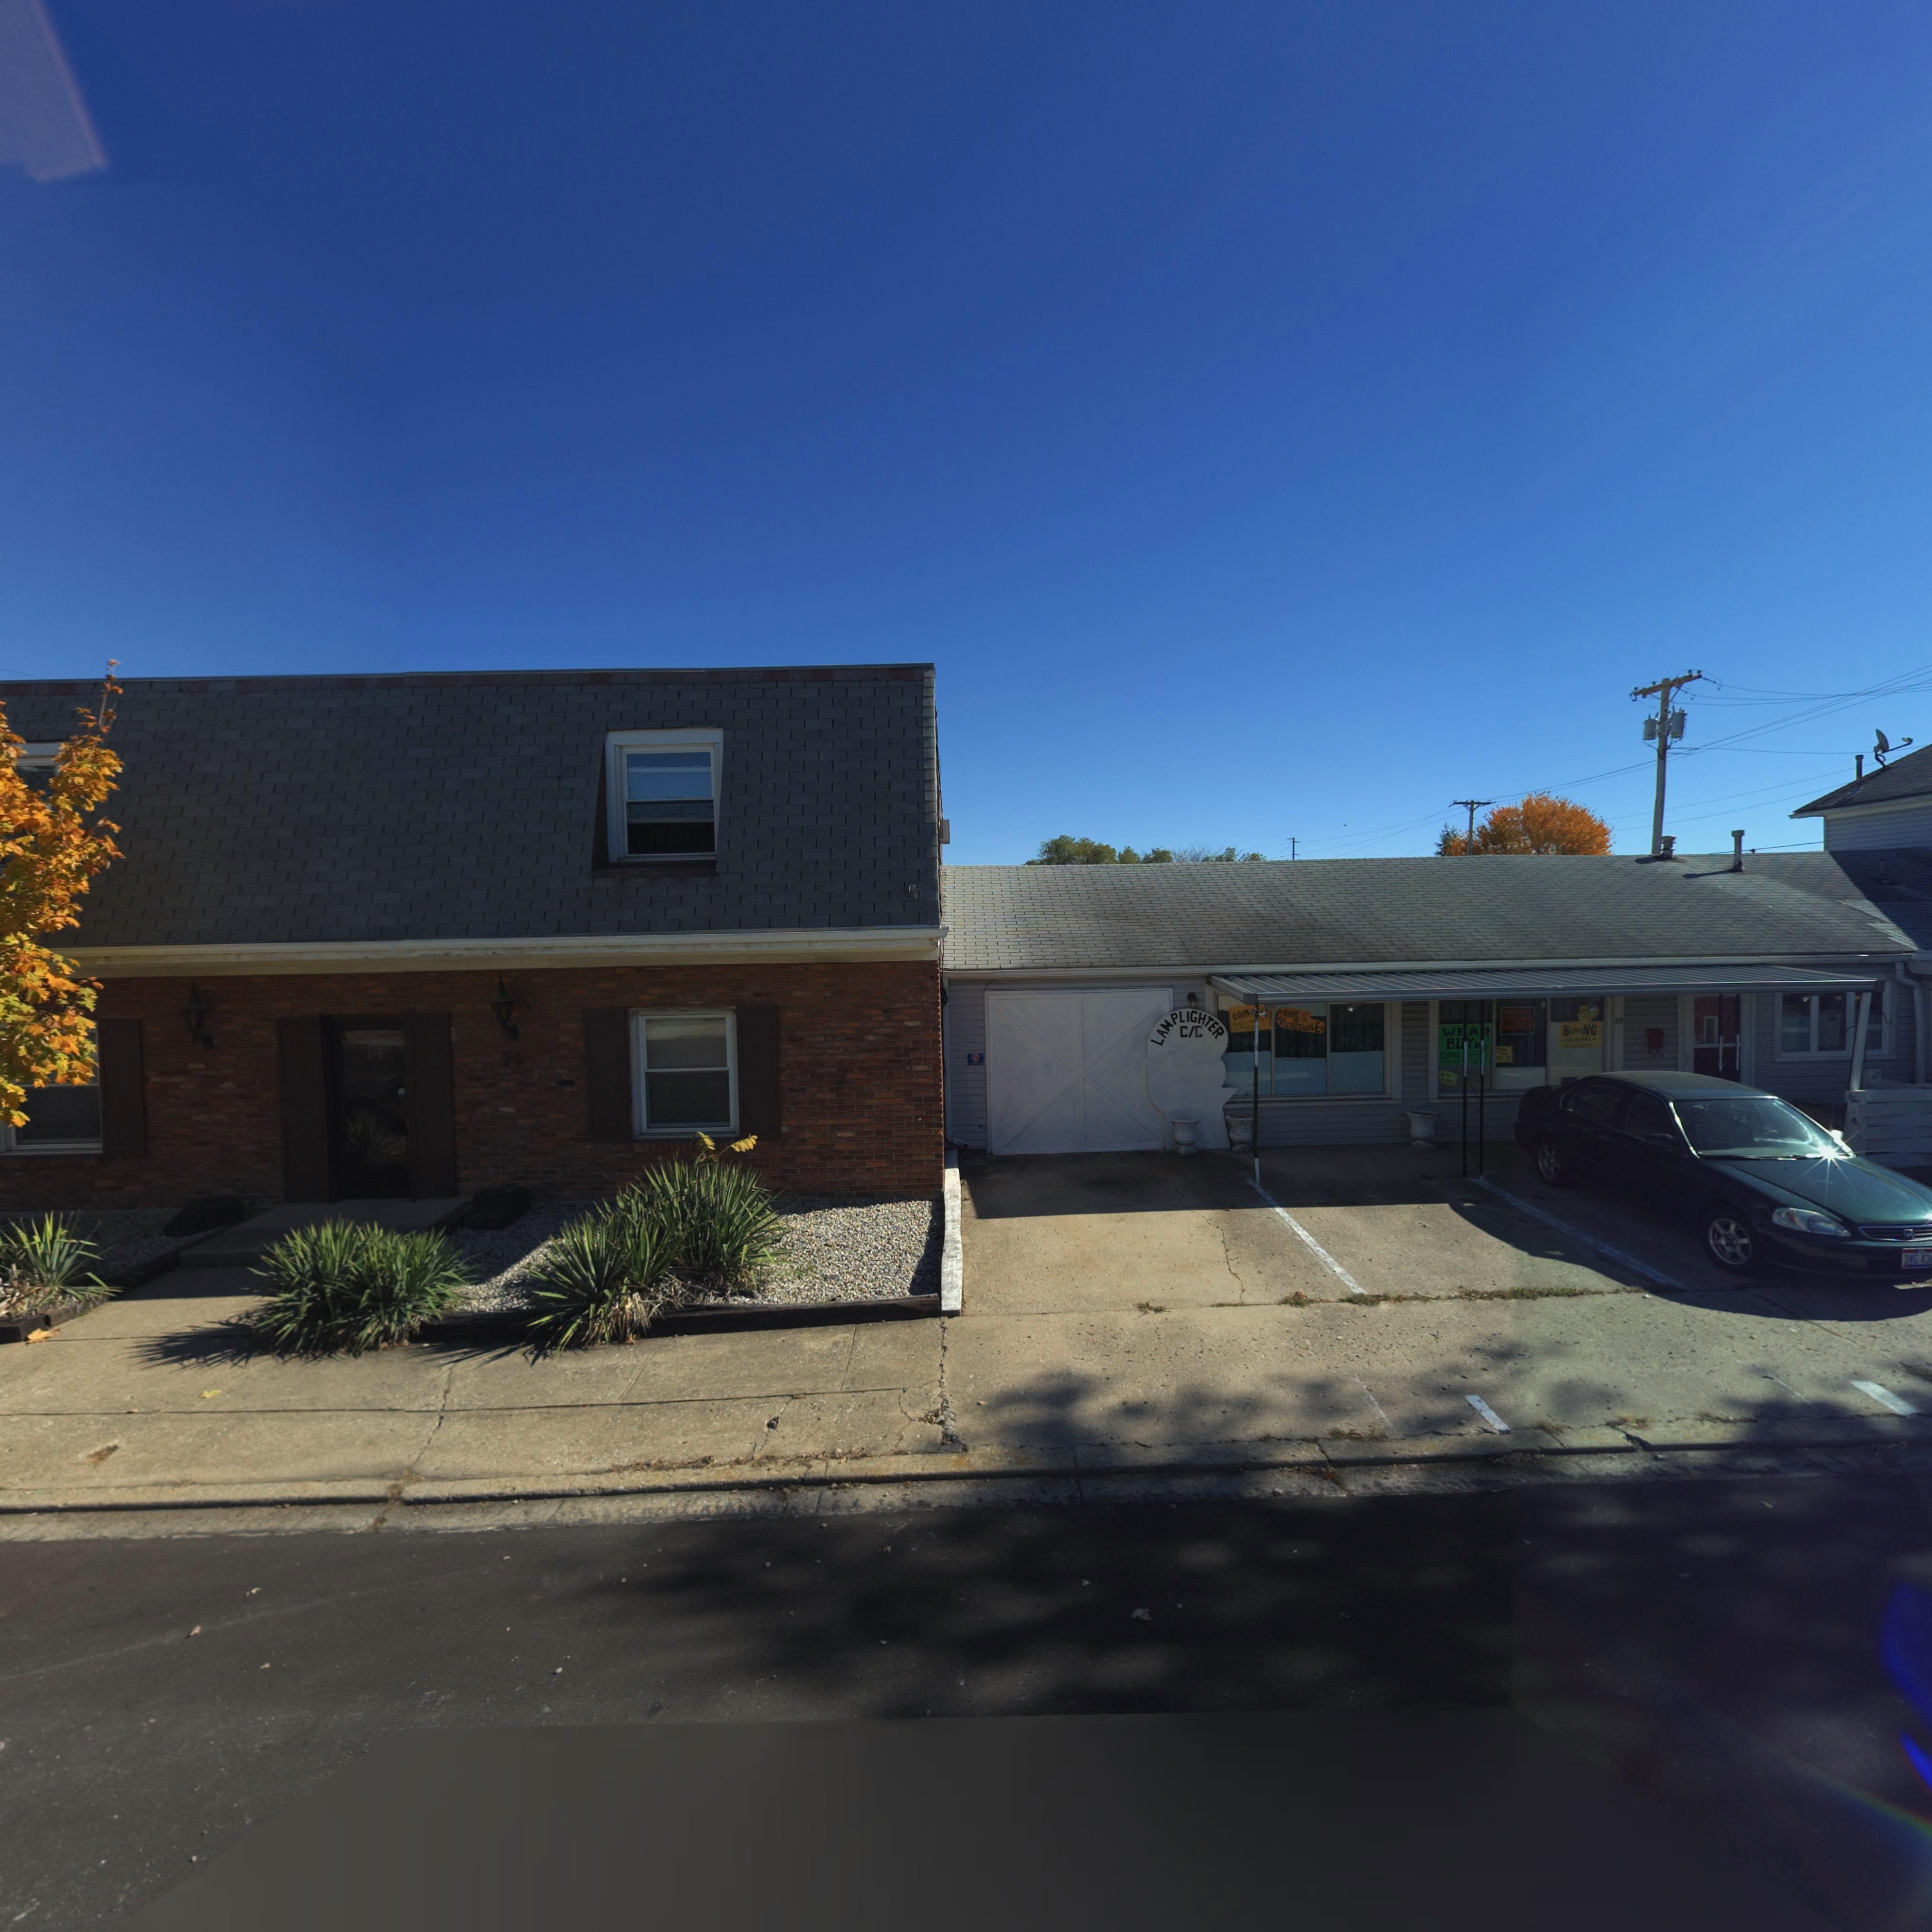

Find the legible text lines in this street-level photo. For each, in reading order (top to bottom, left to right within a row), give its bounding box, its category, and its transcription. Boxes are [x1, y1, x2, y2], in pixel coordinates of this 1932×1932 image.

[1149, 1009, 1227, 1046] None: LAMPLIGHTER
[1179, 1025, 1203, 1038] None: C/C
[1231, 1008, 1251, 1021] None: COIN
[1282, 1008, 1300, 1023] None: OINS
[1275, 1008, 1326, 1034] None: COLLECTABLES
[1441, 1027, 1480, 1037] None: WE A
[1501, 1016, 1534, 1031] None: CLOSED
[1563, 1024, 1597, 1036] None: BUYING
[1614, 1017, 1623, 1024] StreetNumber: 20
[1446, 1037, 1488, 1050] None: BUYi**
[366, 1042, 385, 1060] StreetNumber: 14
[500, 1049, 522, 1067] StreetNumber: 14
[1439, 1050, 1460, 1060] None: COiNS
[1903, 1253, 1931, 1265] None: DVG*43